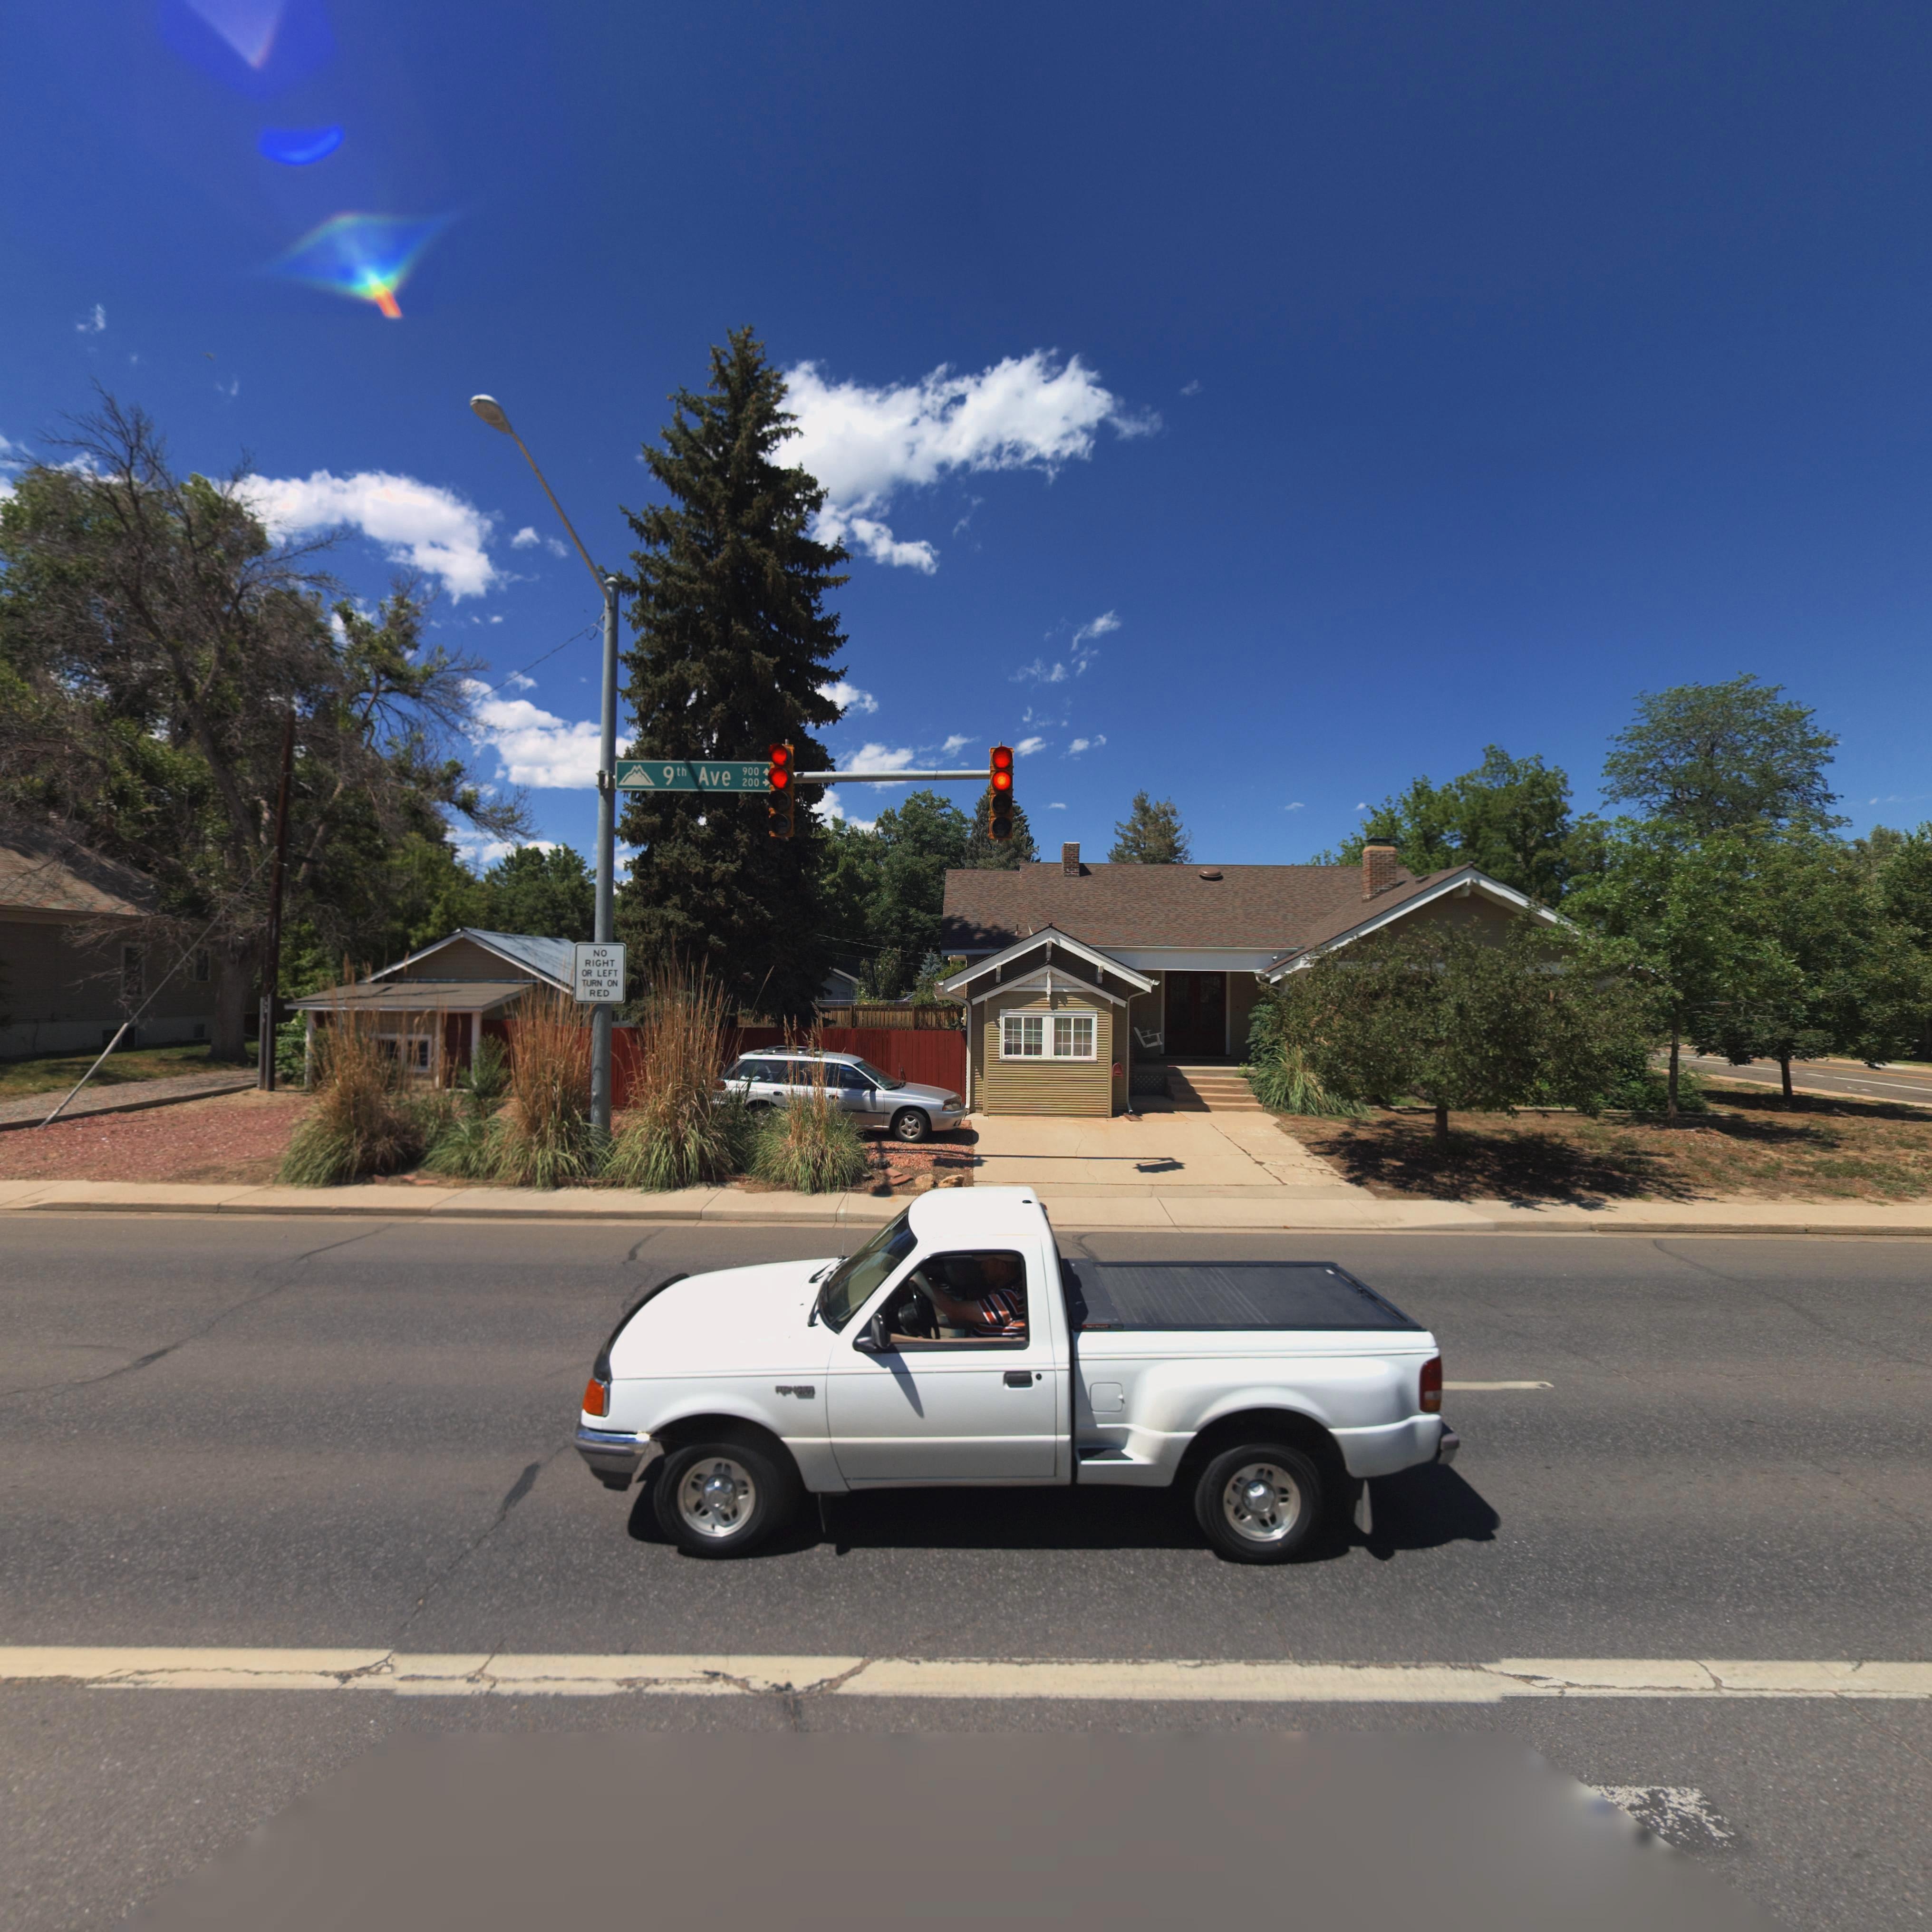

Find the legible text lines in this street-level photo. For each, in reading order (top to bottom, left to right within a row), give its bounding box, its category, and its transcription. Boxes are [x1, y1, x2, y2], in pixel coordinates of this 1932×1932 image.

[663, 765, 731, 786] StreetName: 9th Ave
[742, 767, 759, 776] StreetNumberRange: 900
[742, 777, 770, 787] StreetNumberRange: 200->